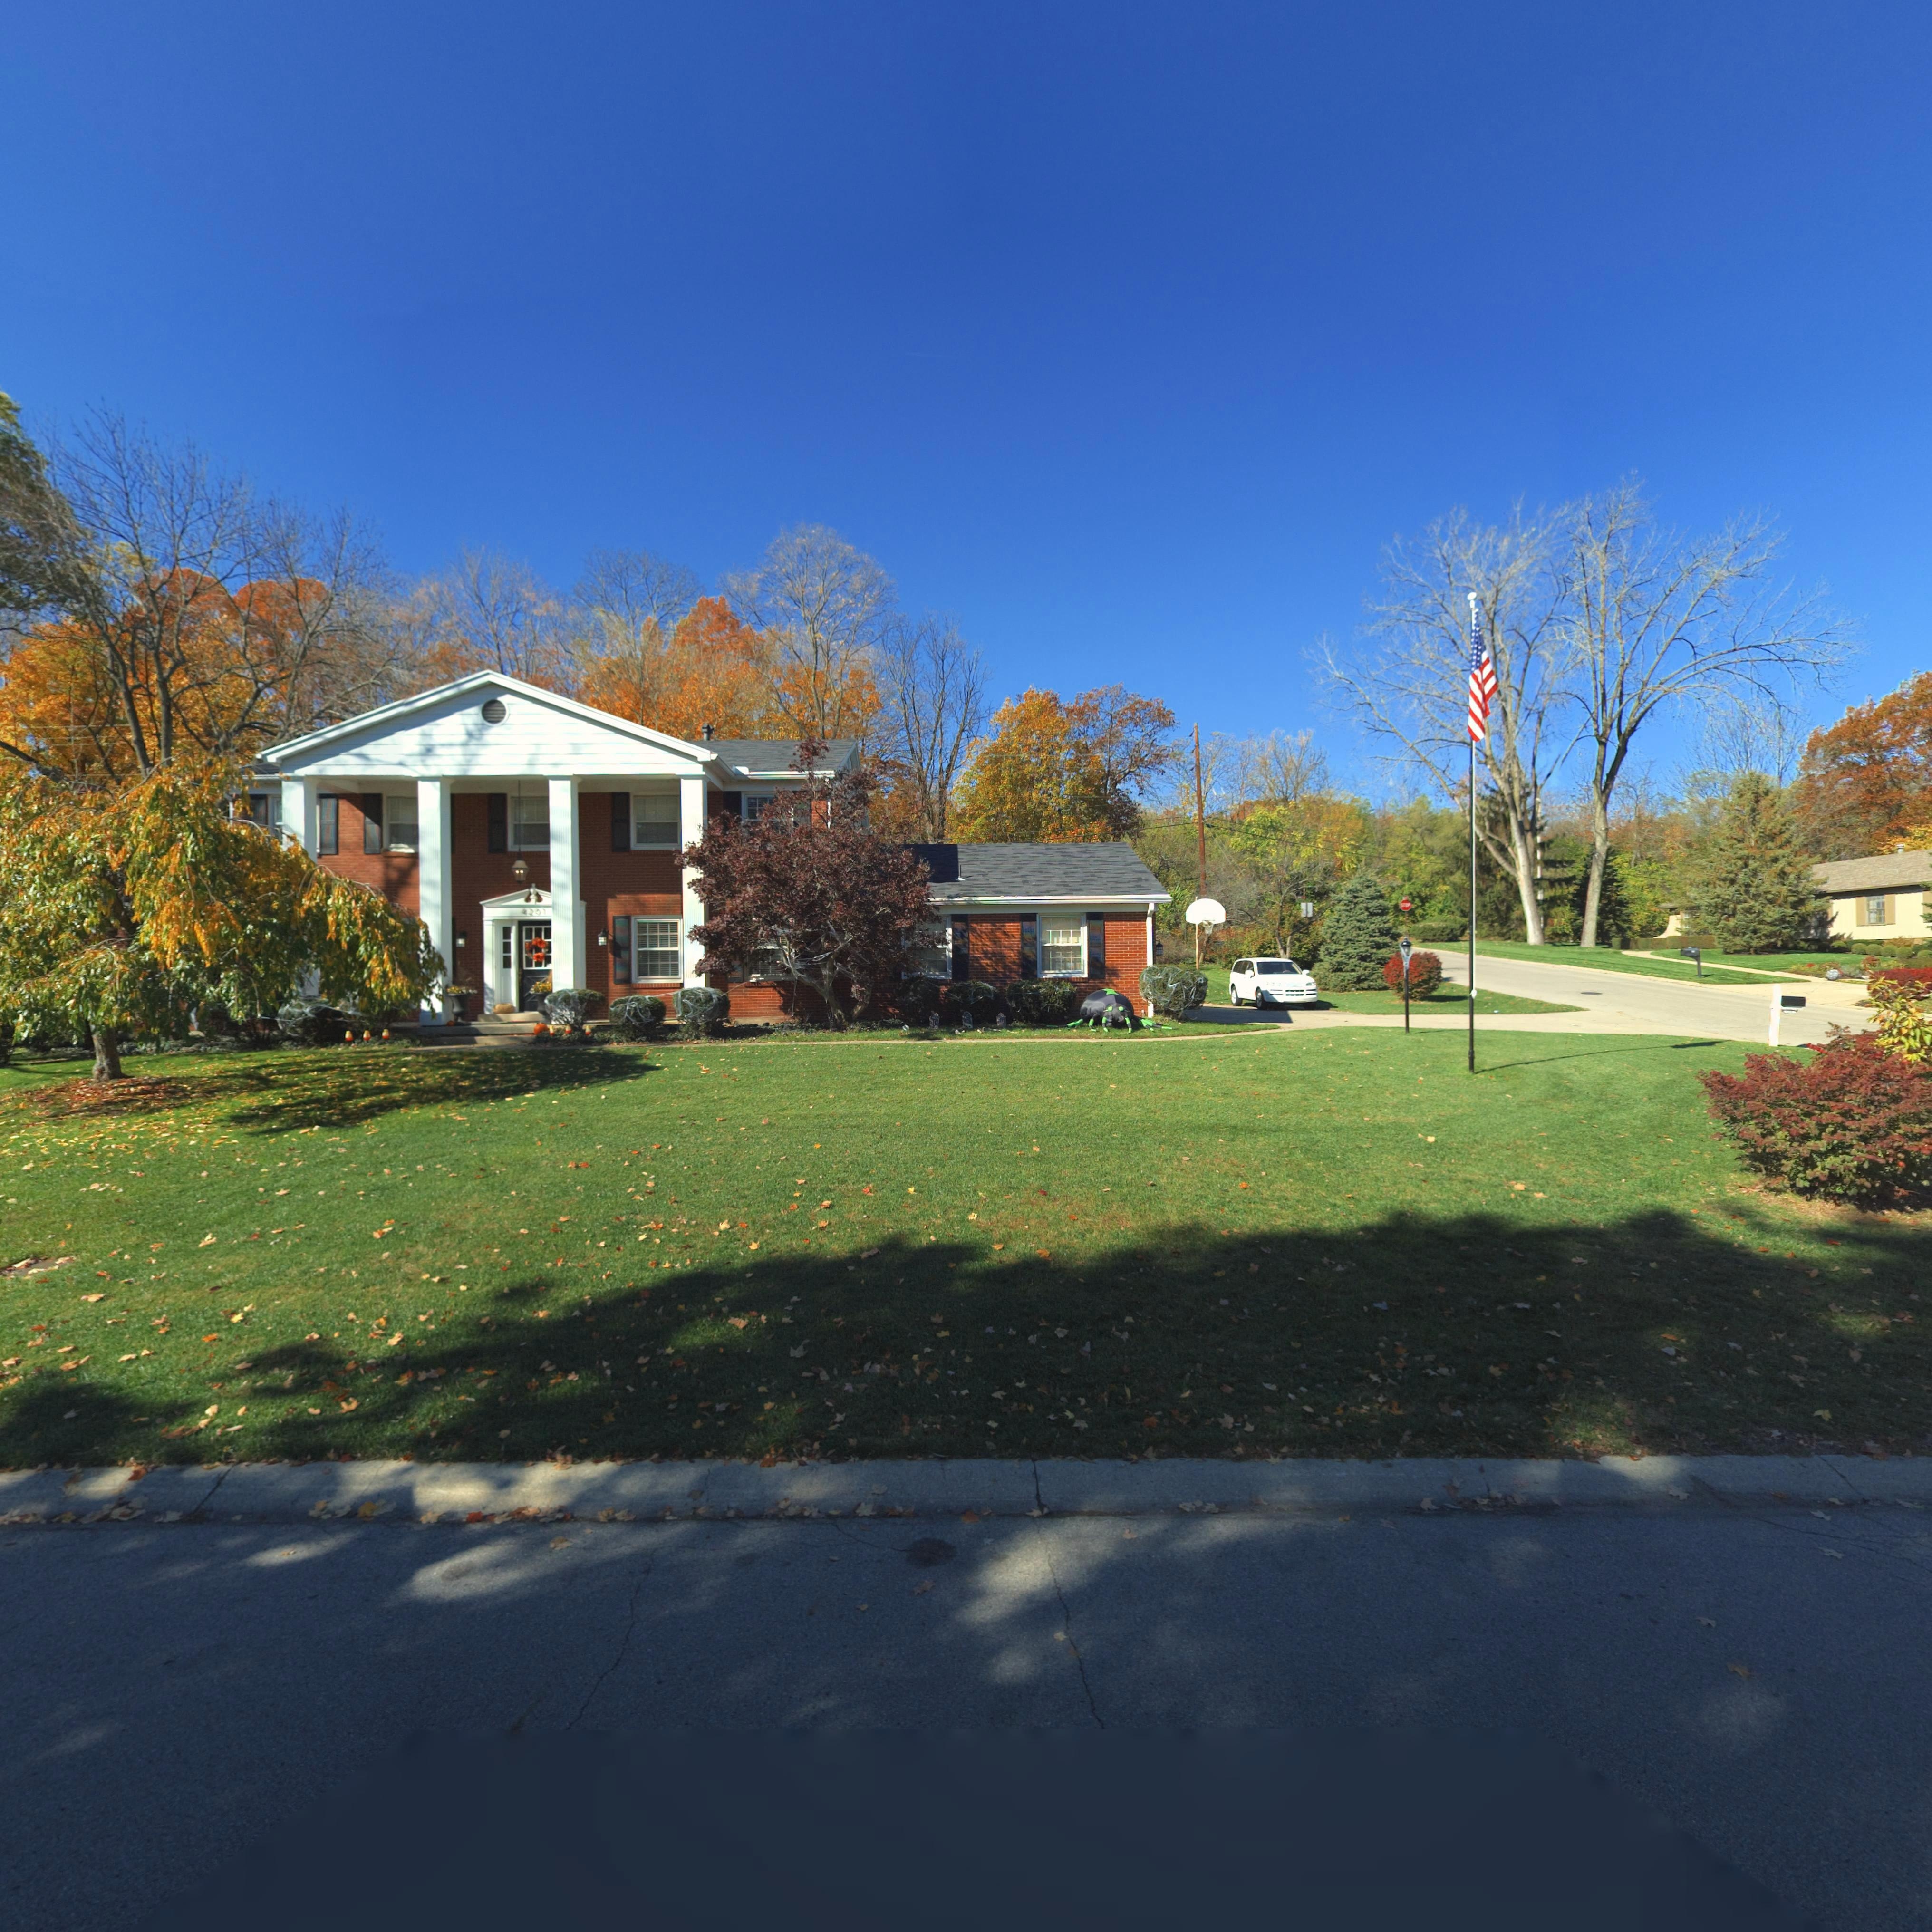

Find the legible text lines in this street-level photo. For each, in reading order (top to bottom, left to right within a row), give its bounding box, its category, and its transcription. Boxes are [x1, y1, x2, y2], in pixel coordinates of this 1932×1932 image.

[520, 908, 548, 916] StreetNumber: **01